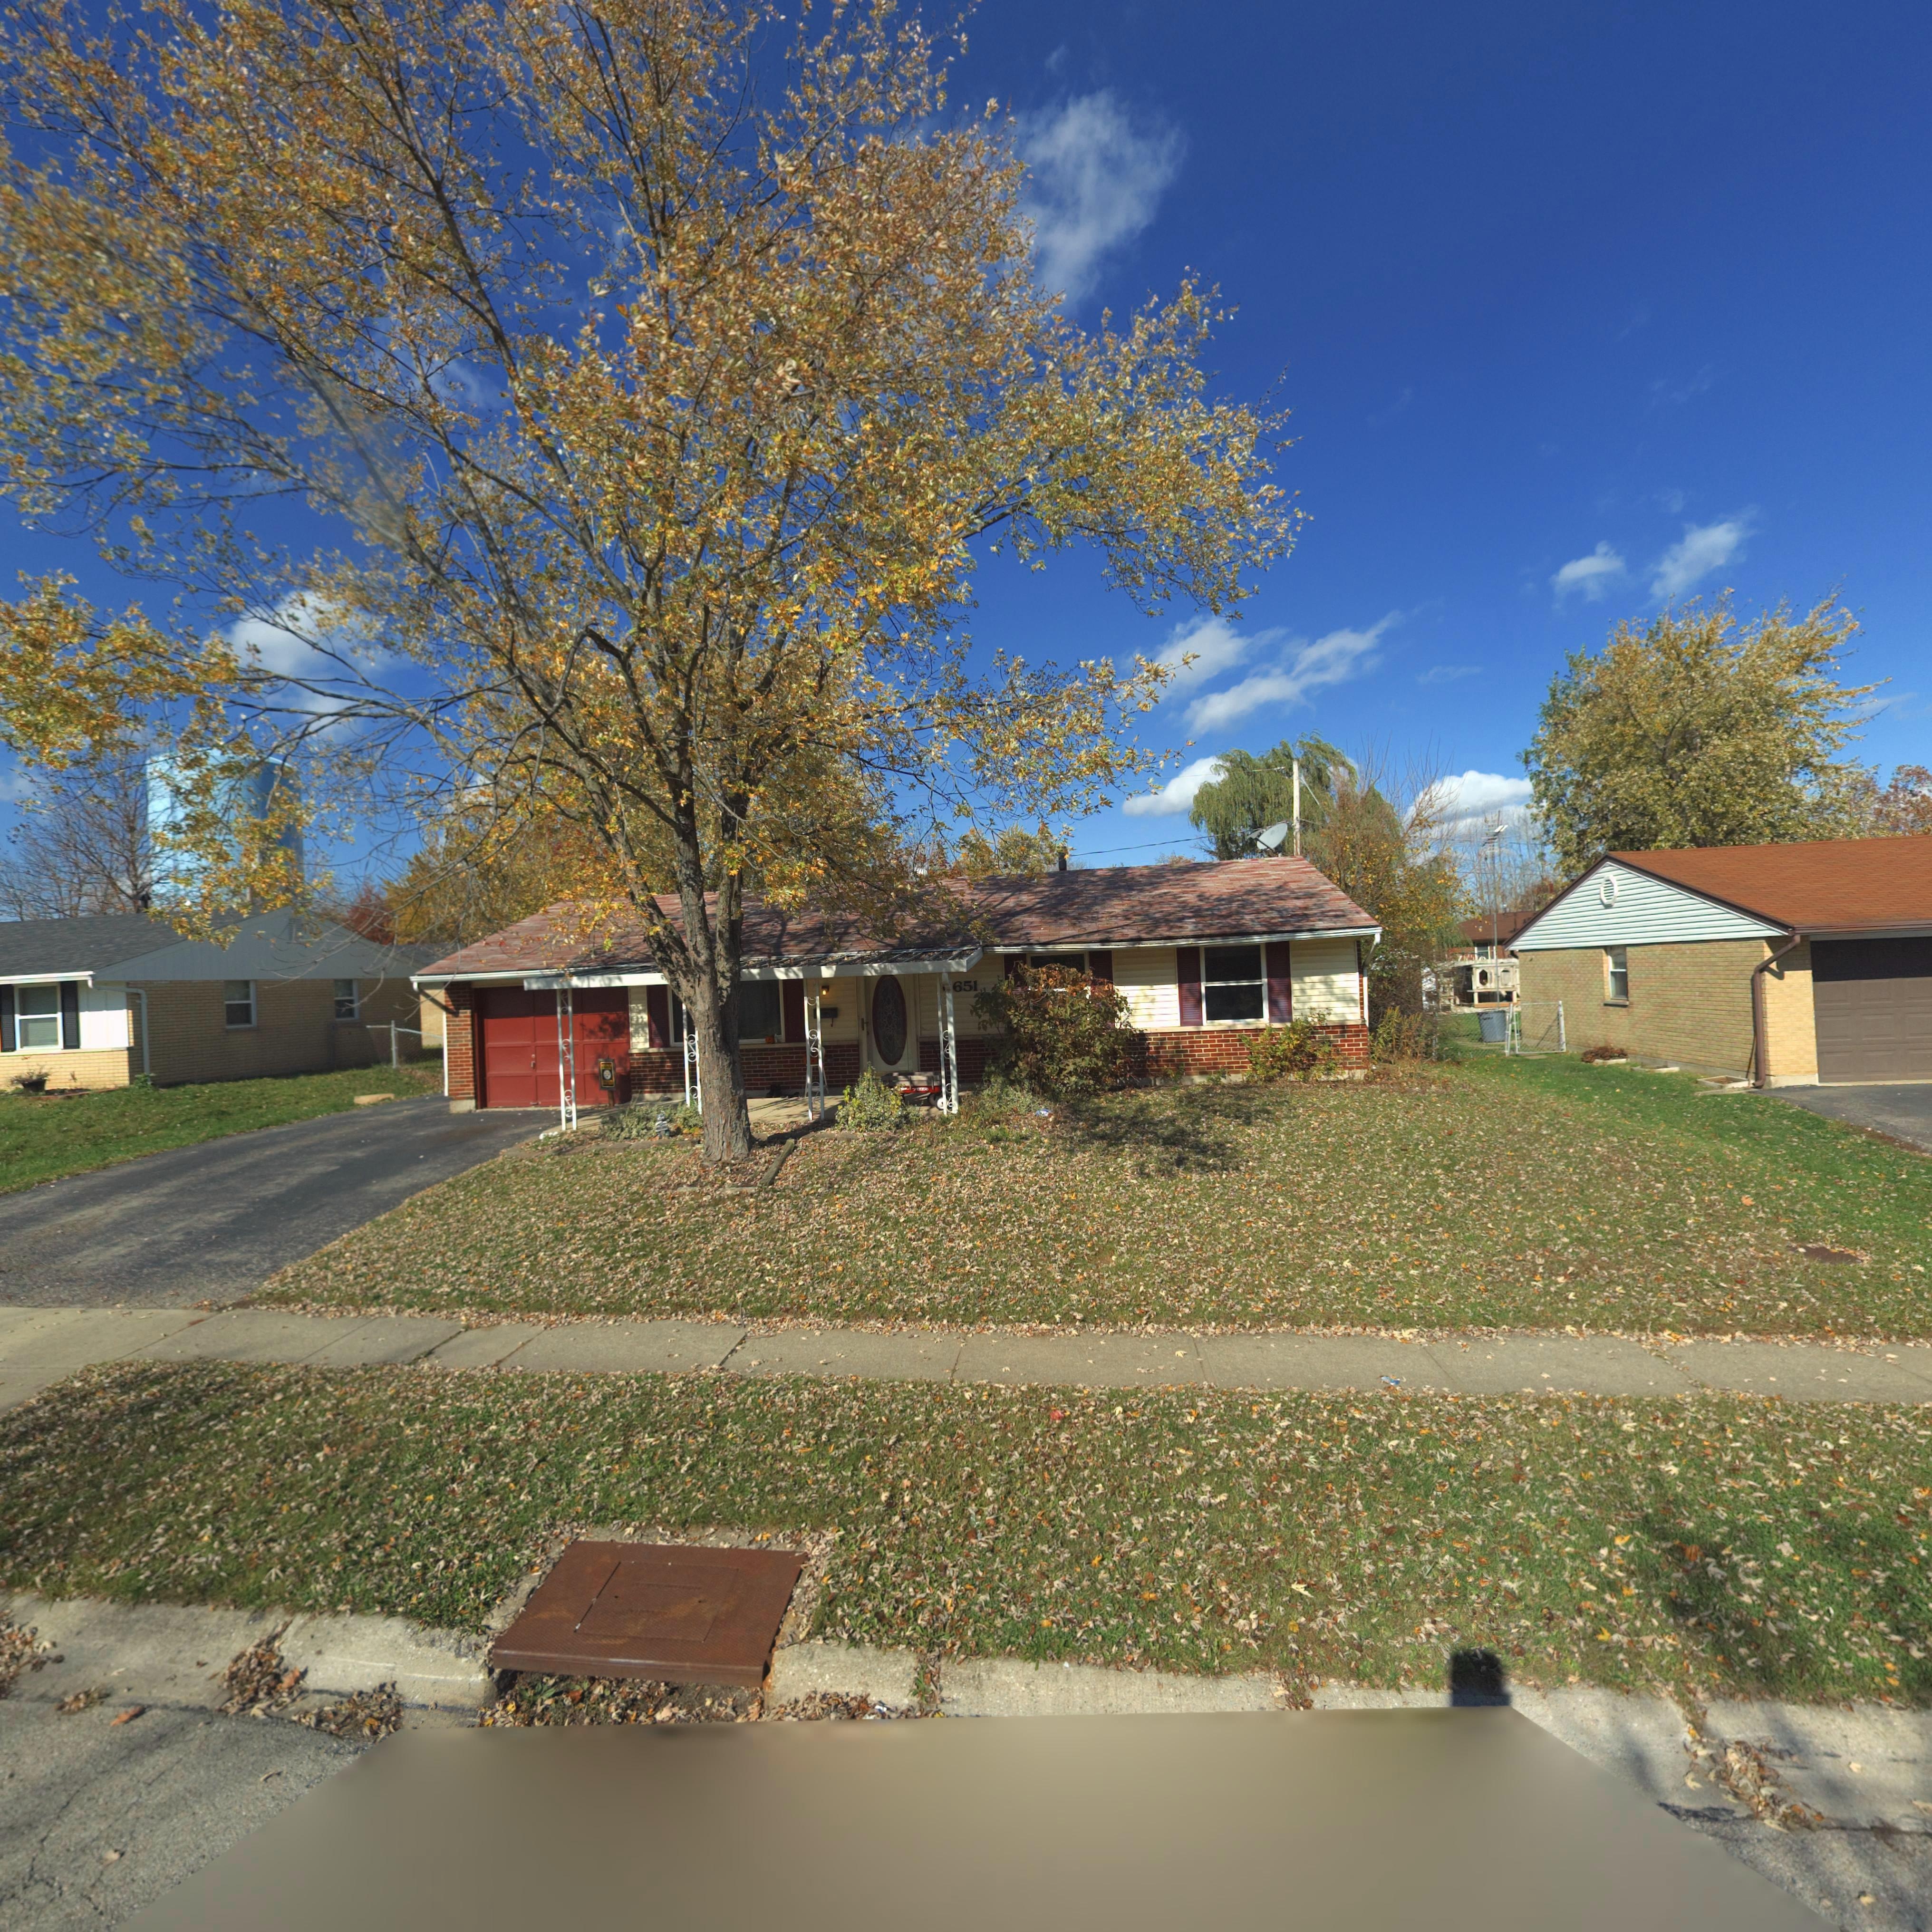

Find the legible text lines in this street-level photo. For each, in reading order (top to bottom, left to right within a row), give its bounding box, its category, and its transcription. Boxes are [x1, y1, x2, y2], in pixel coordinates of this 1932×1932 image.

[952, 979, 978, 993] StreetNumber: 651